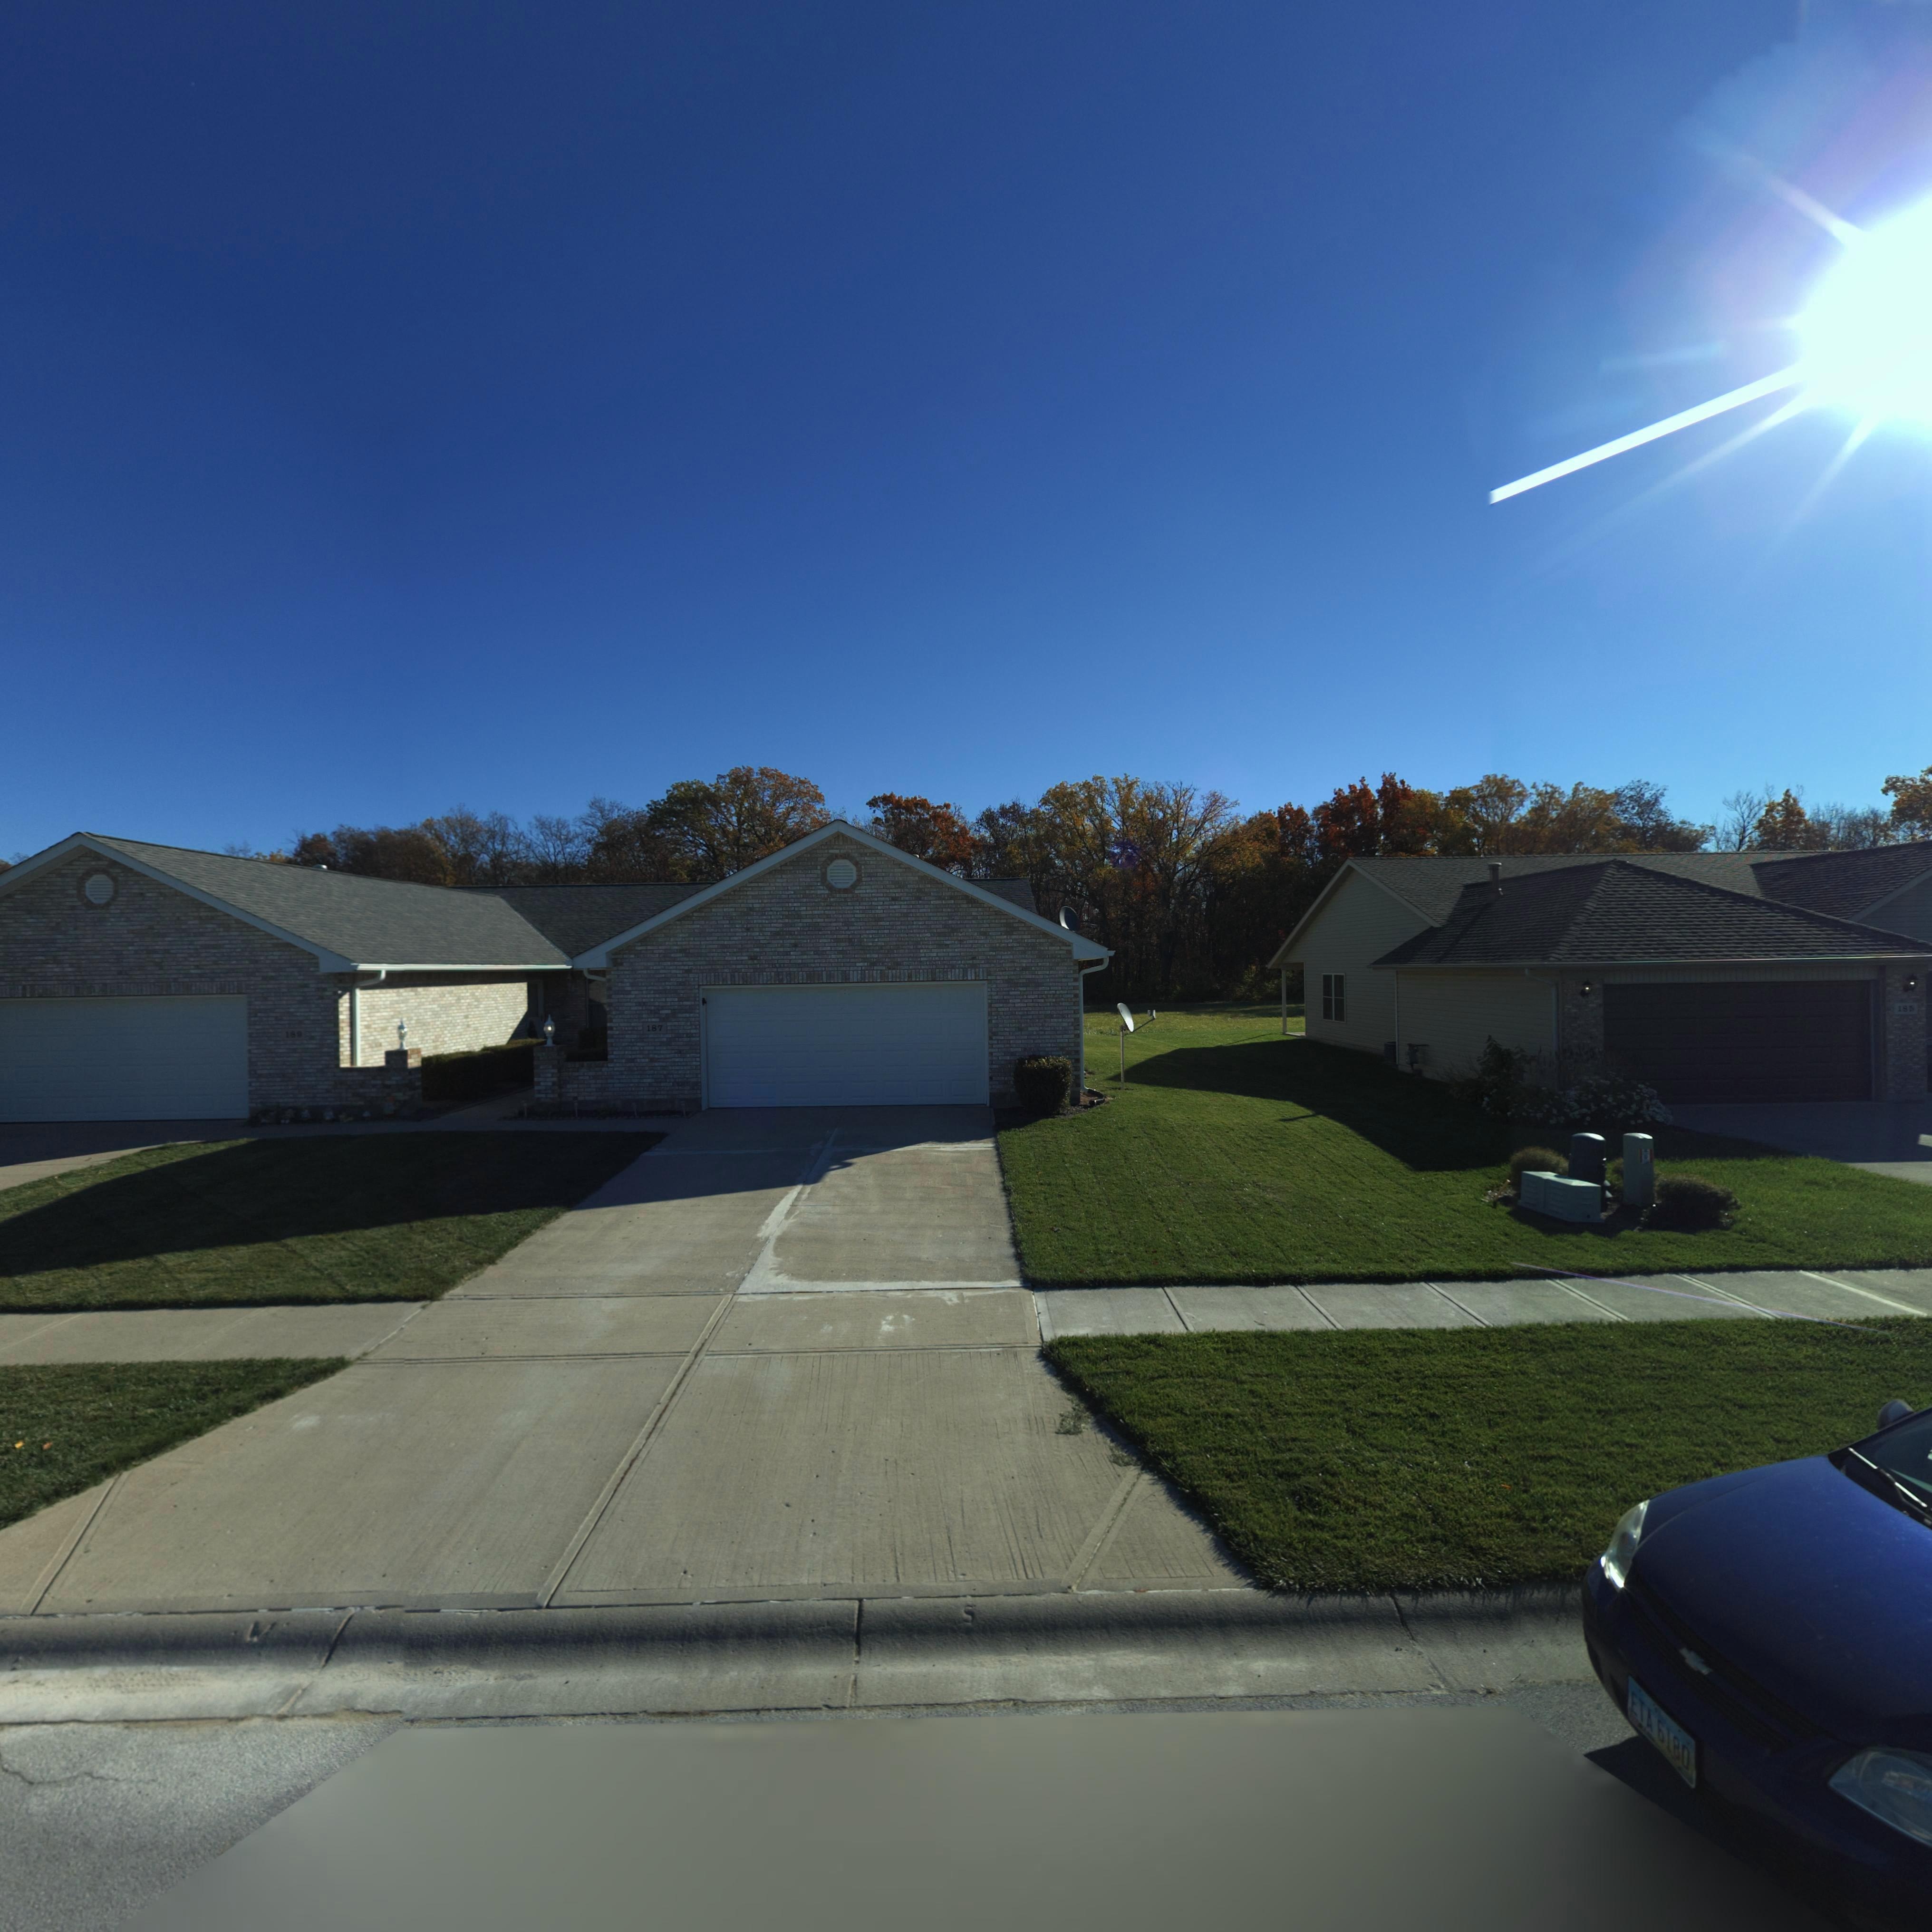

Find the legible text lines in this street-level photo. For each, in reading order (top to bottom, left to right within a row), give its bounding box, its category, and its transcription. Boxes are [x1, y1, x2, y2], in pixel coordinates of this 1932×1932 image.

[1896, 1005, 1915, 1013] StreetNumber: 185
[646, 1024, 664, 1033] StreetNumber: 187
[284, 1030, 303, 1039] StreetNumber: 189